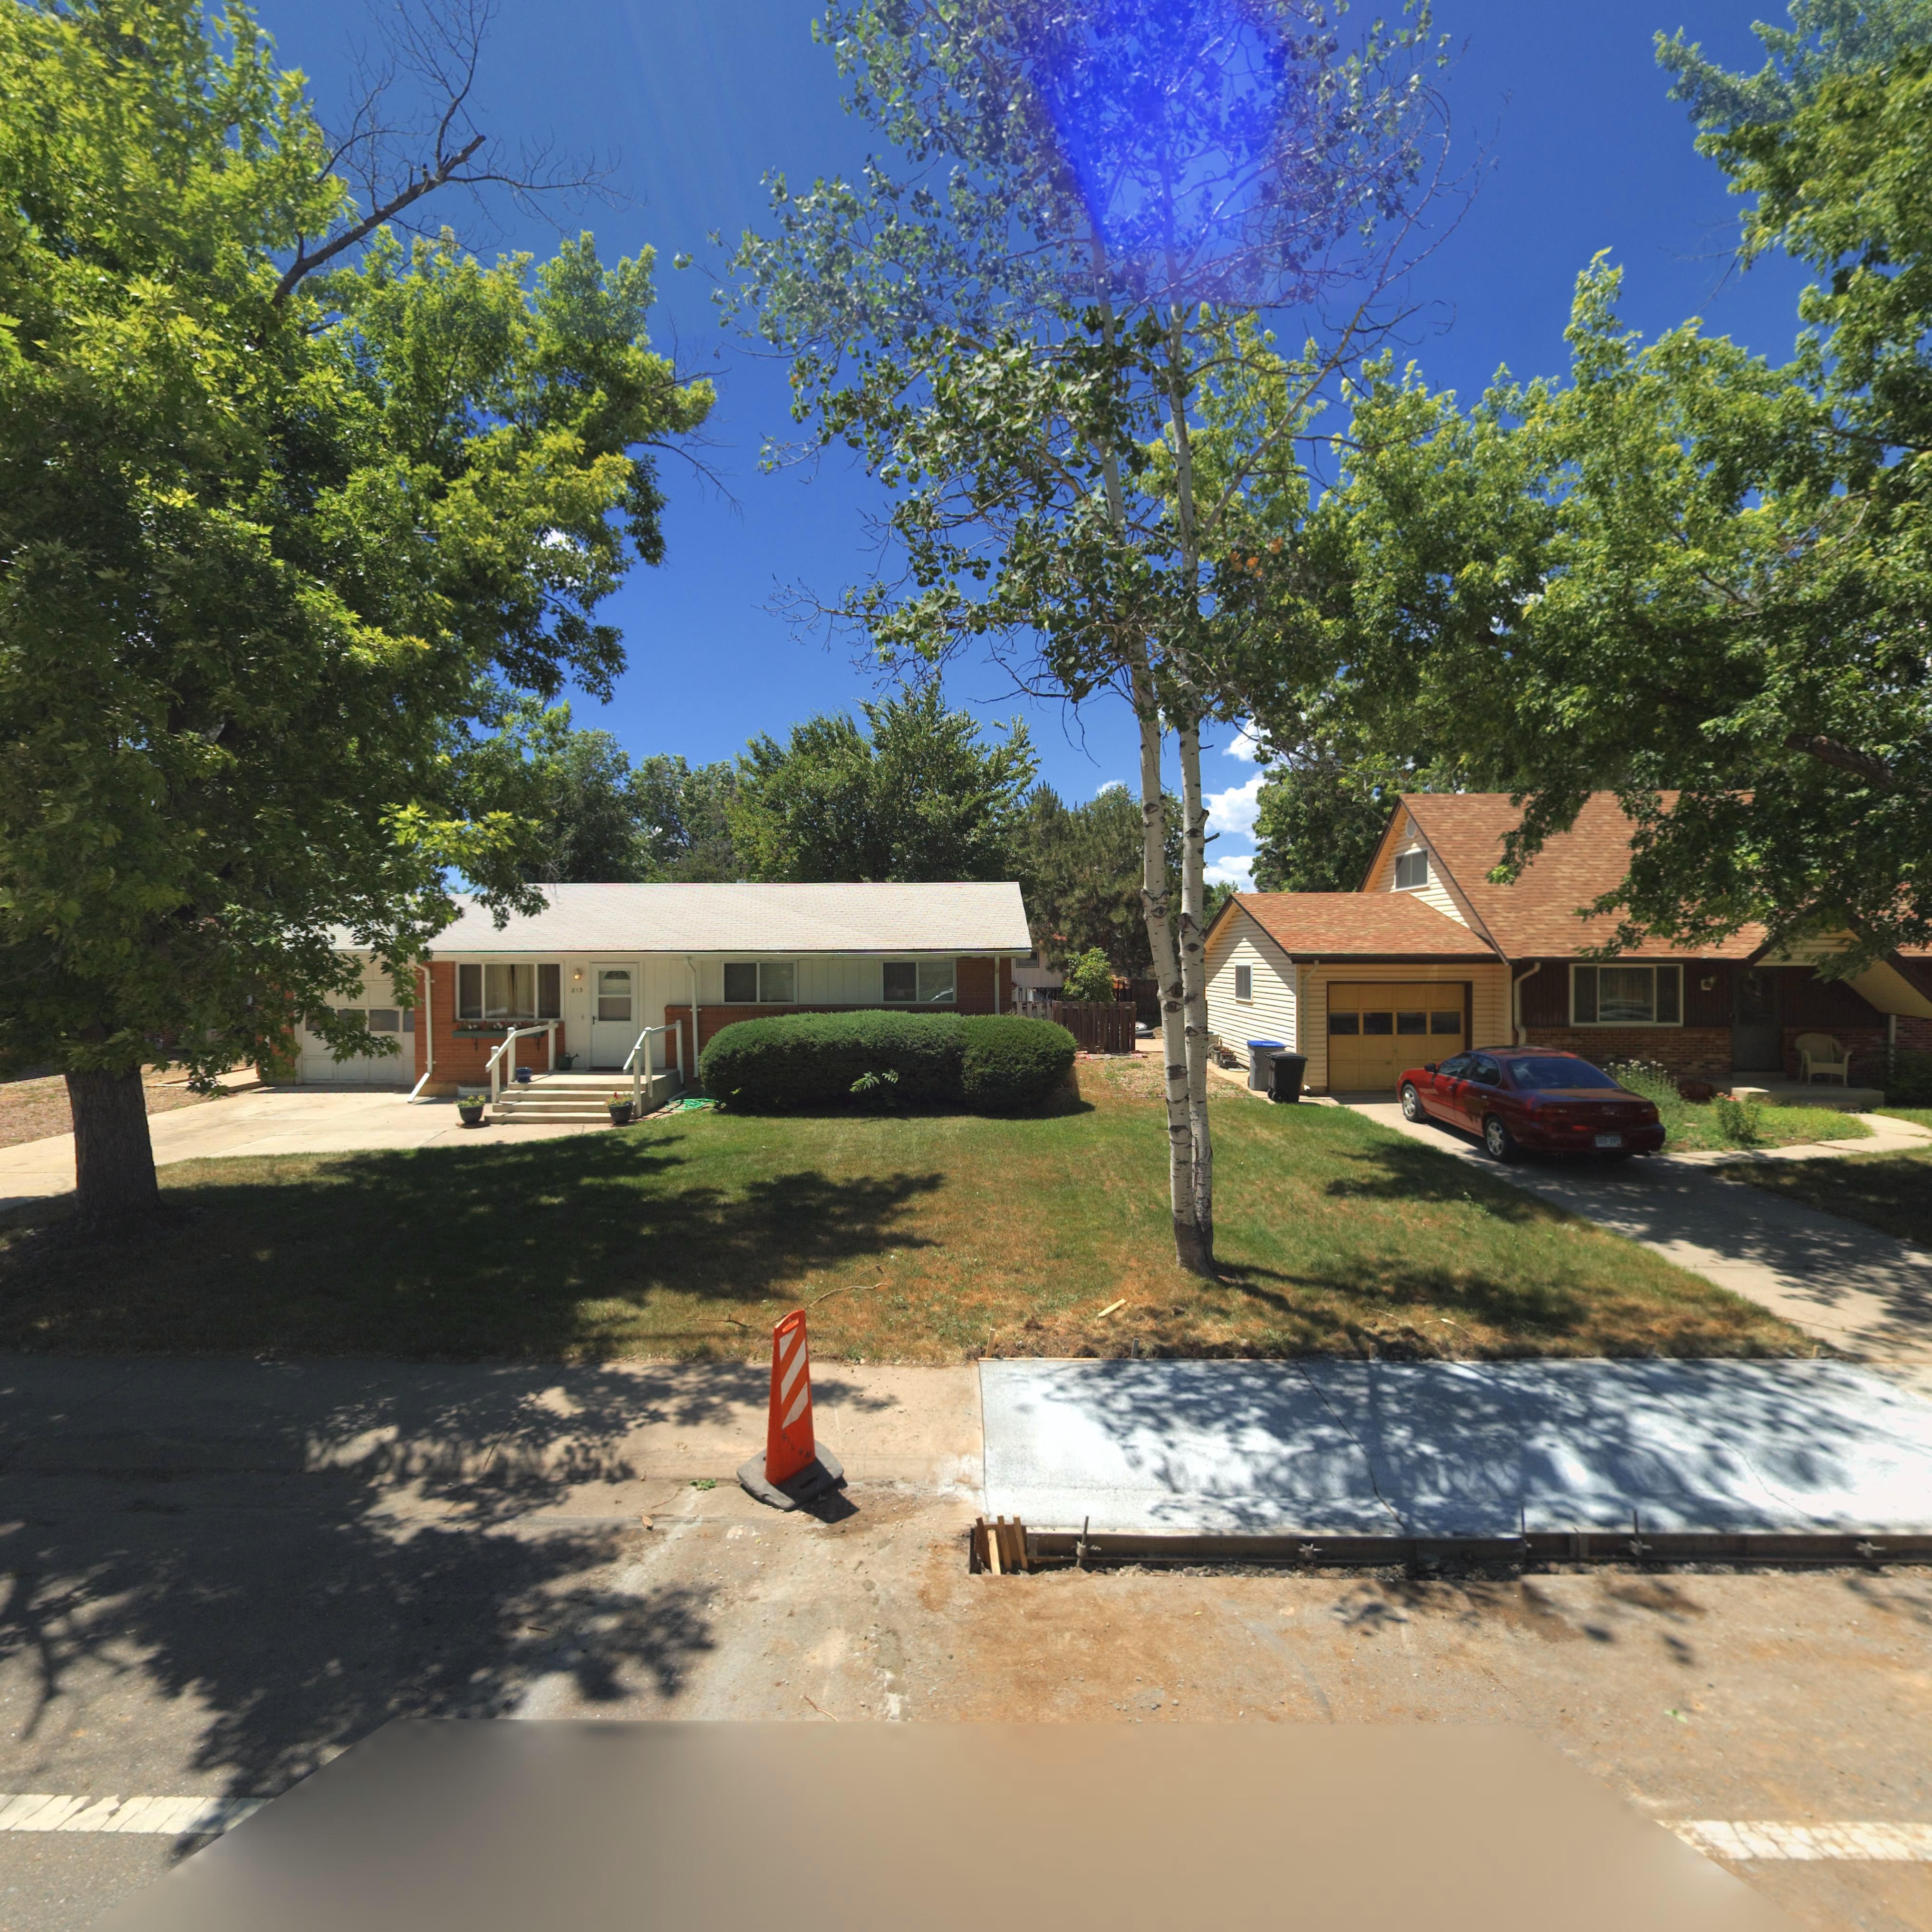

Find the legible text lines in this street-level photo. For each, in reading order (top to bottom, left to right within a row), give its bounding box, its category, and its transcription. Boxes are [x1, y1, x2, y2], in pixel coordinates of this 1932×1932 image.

[571, 987, 582, 993] StreetNumber: 813